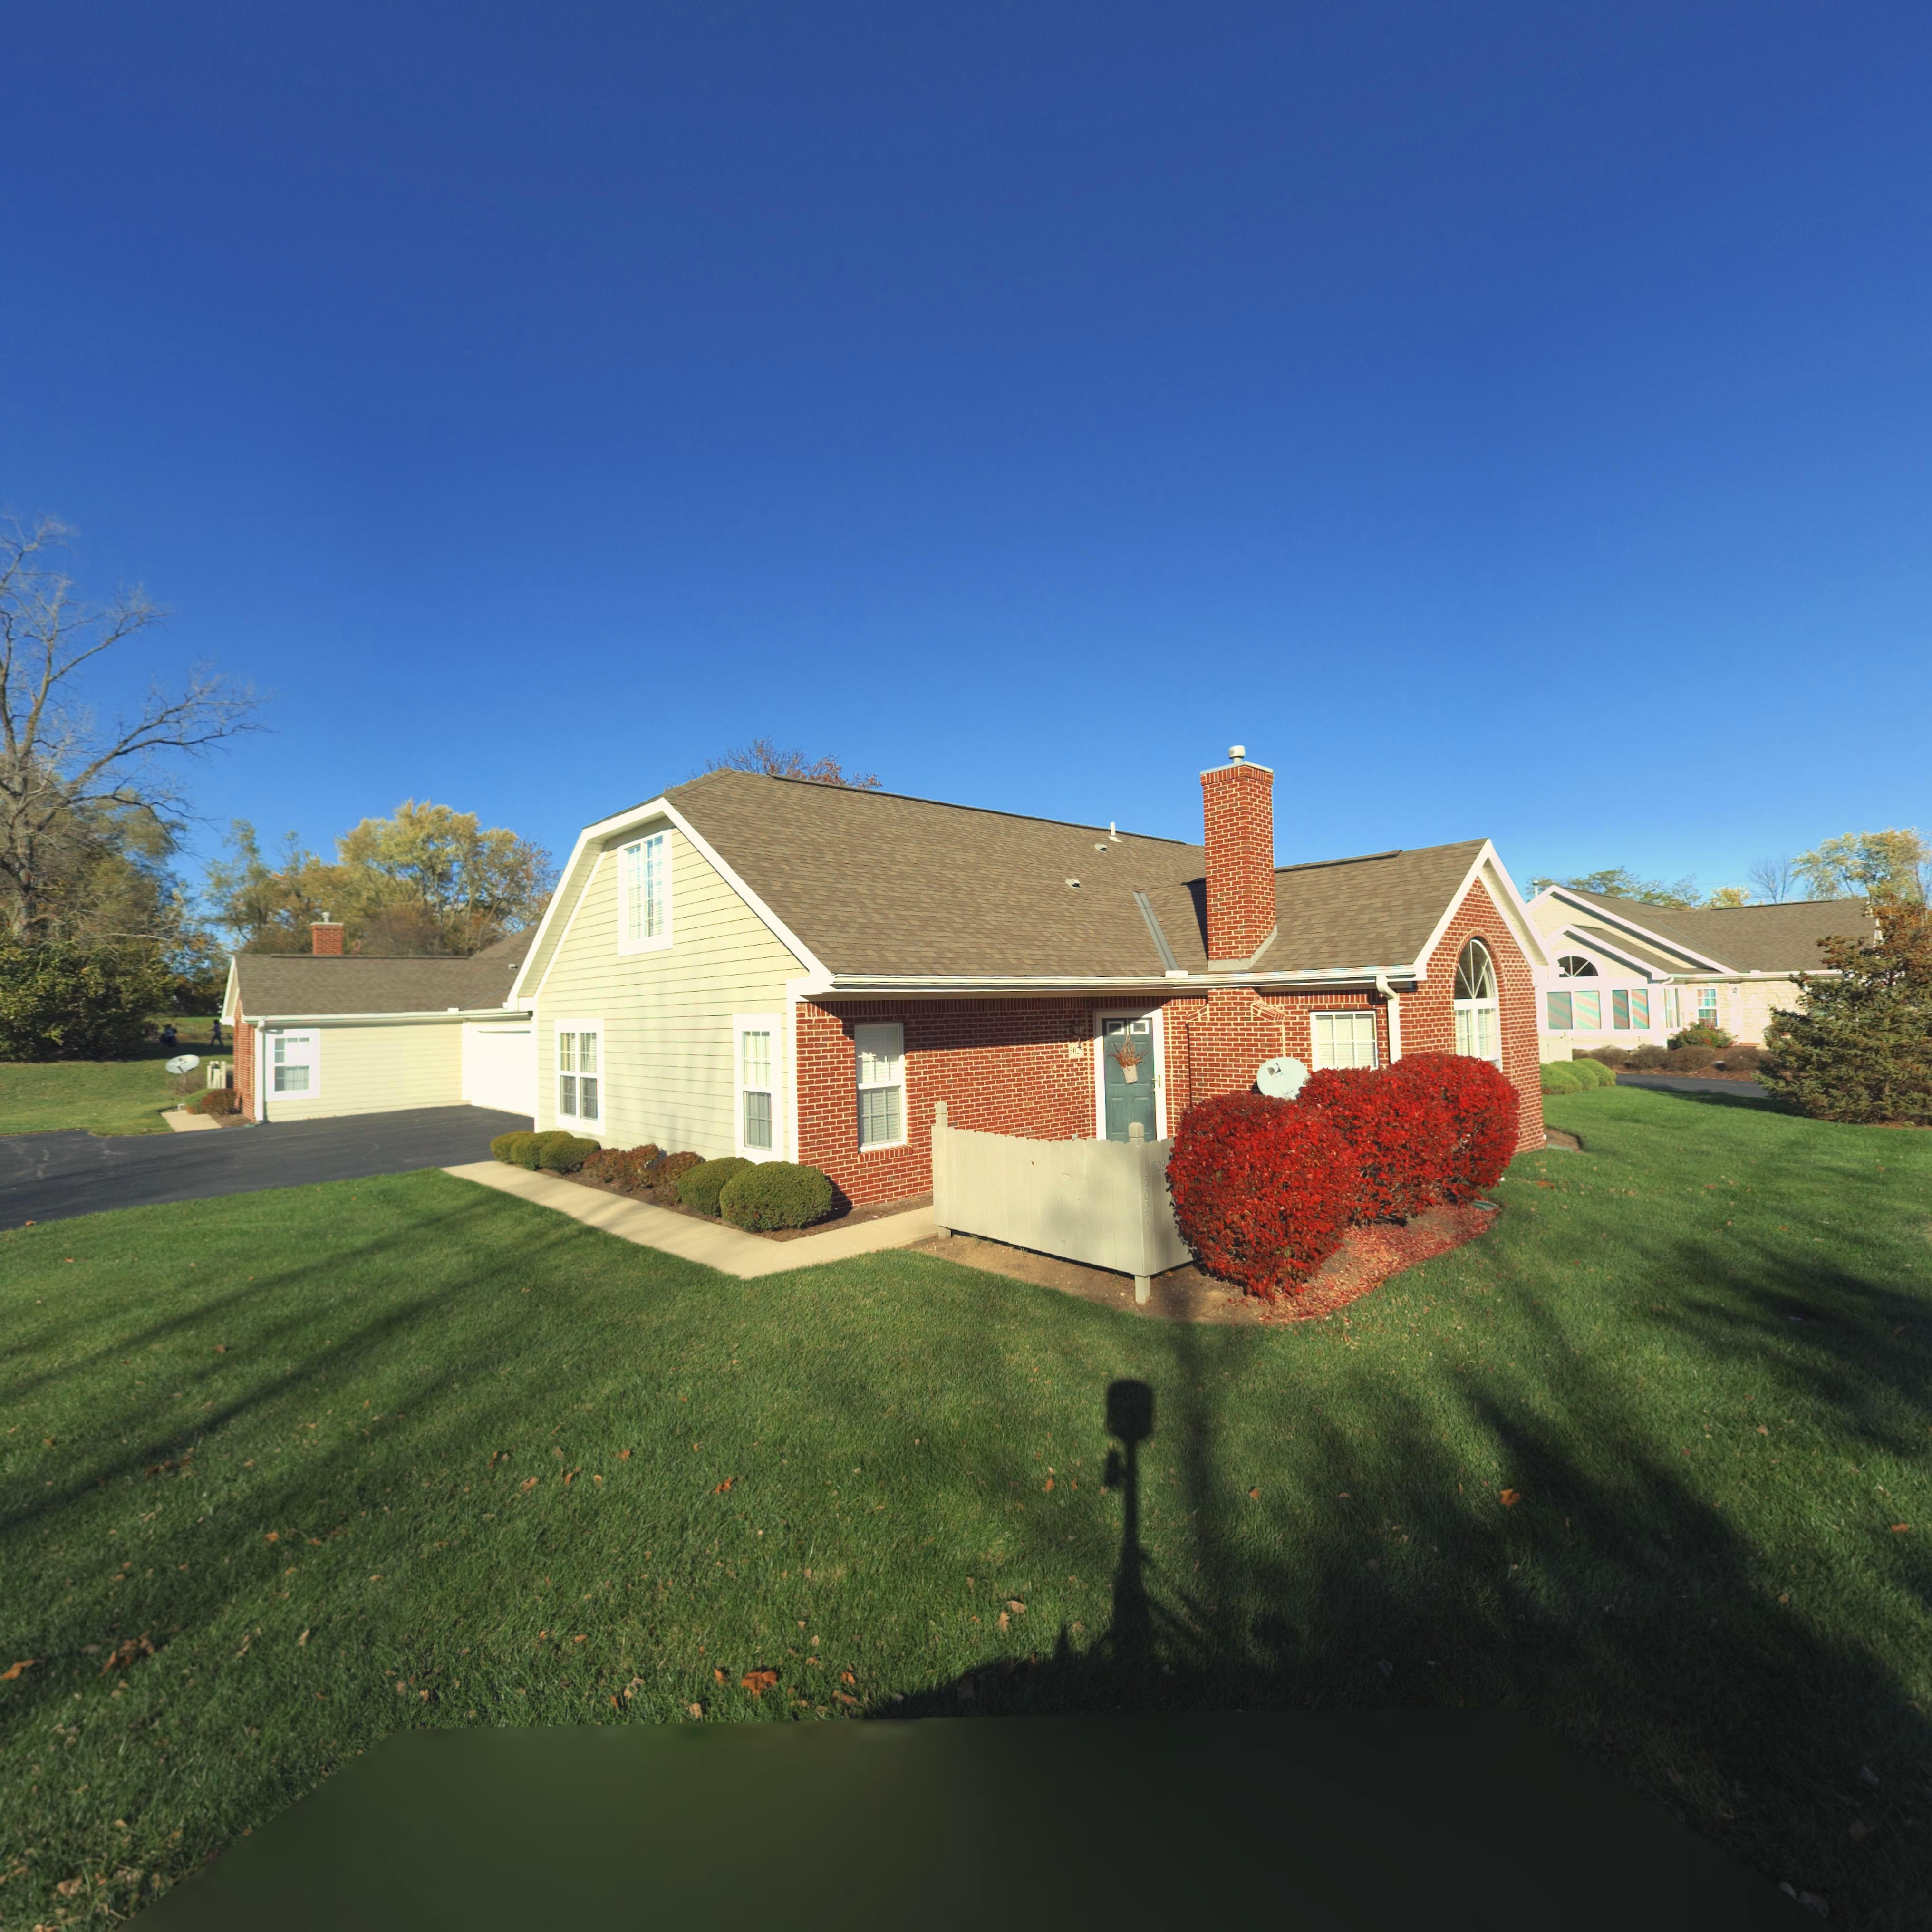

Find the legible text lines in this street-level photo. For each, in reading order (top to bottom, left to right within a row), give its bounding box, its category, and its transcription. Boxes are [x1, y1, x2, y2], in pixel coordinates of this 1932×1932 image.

[1069, 1045, 1084, 1056] StreetNumber: 5025
[1150, 1157, 1168, 1175] StreetNumber: 502
[1142, 1173, 1151, 1227] StreetNumber: 5027